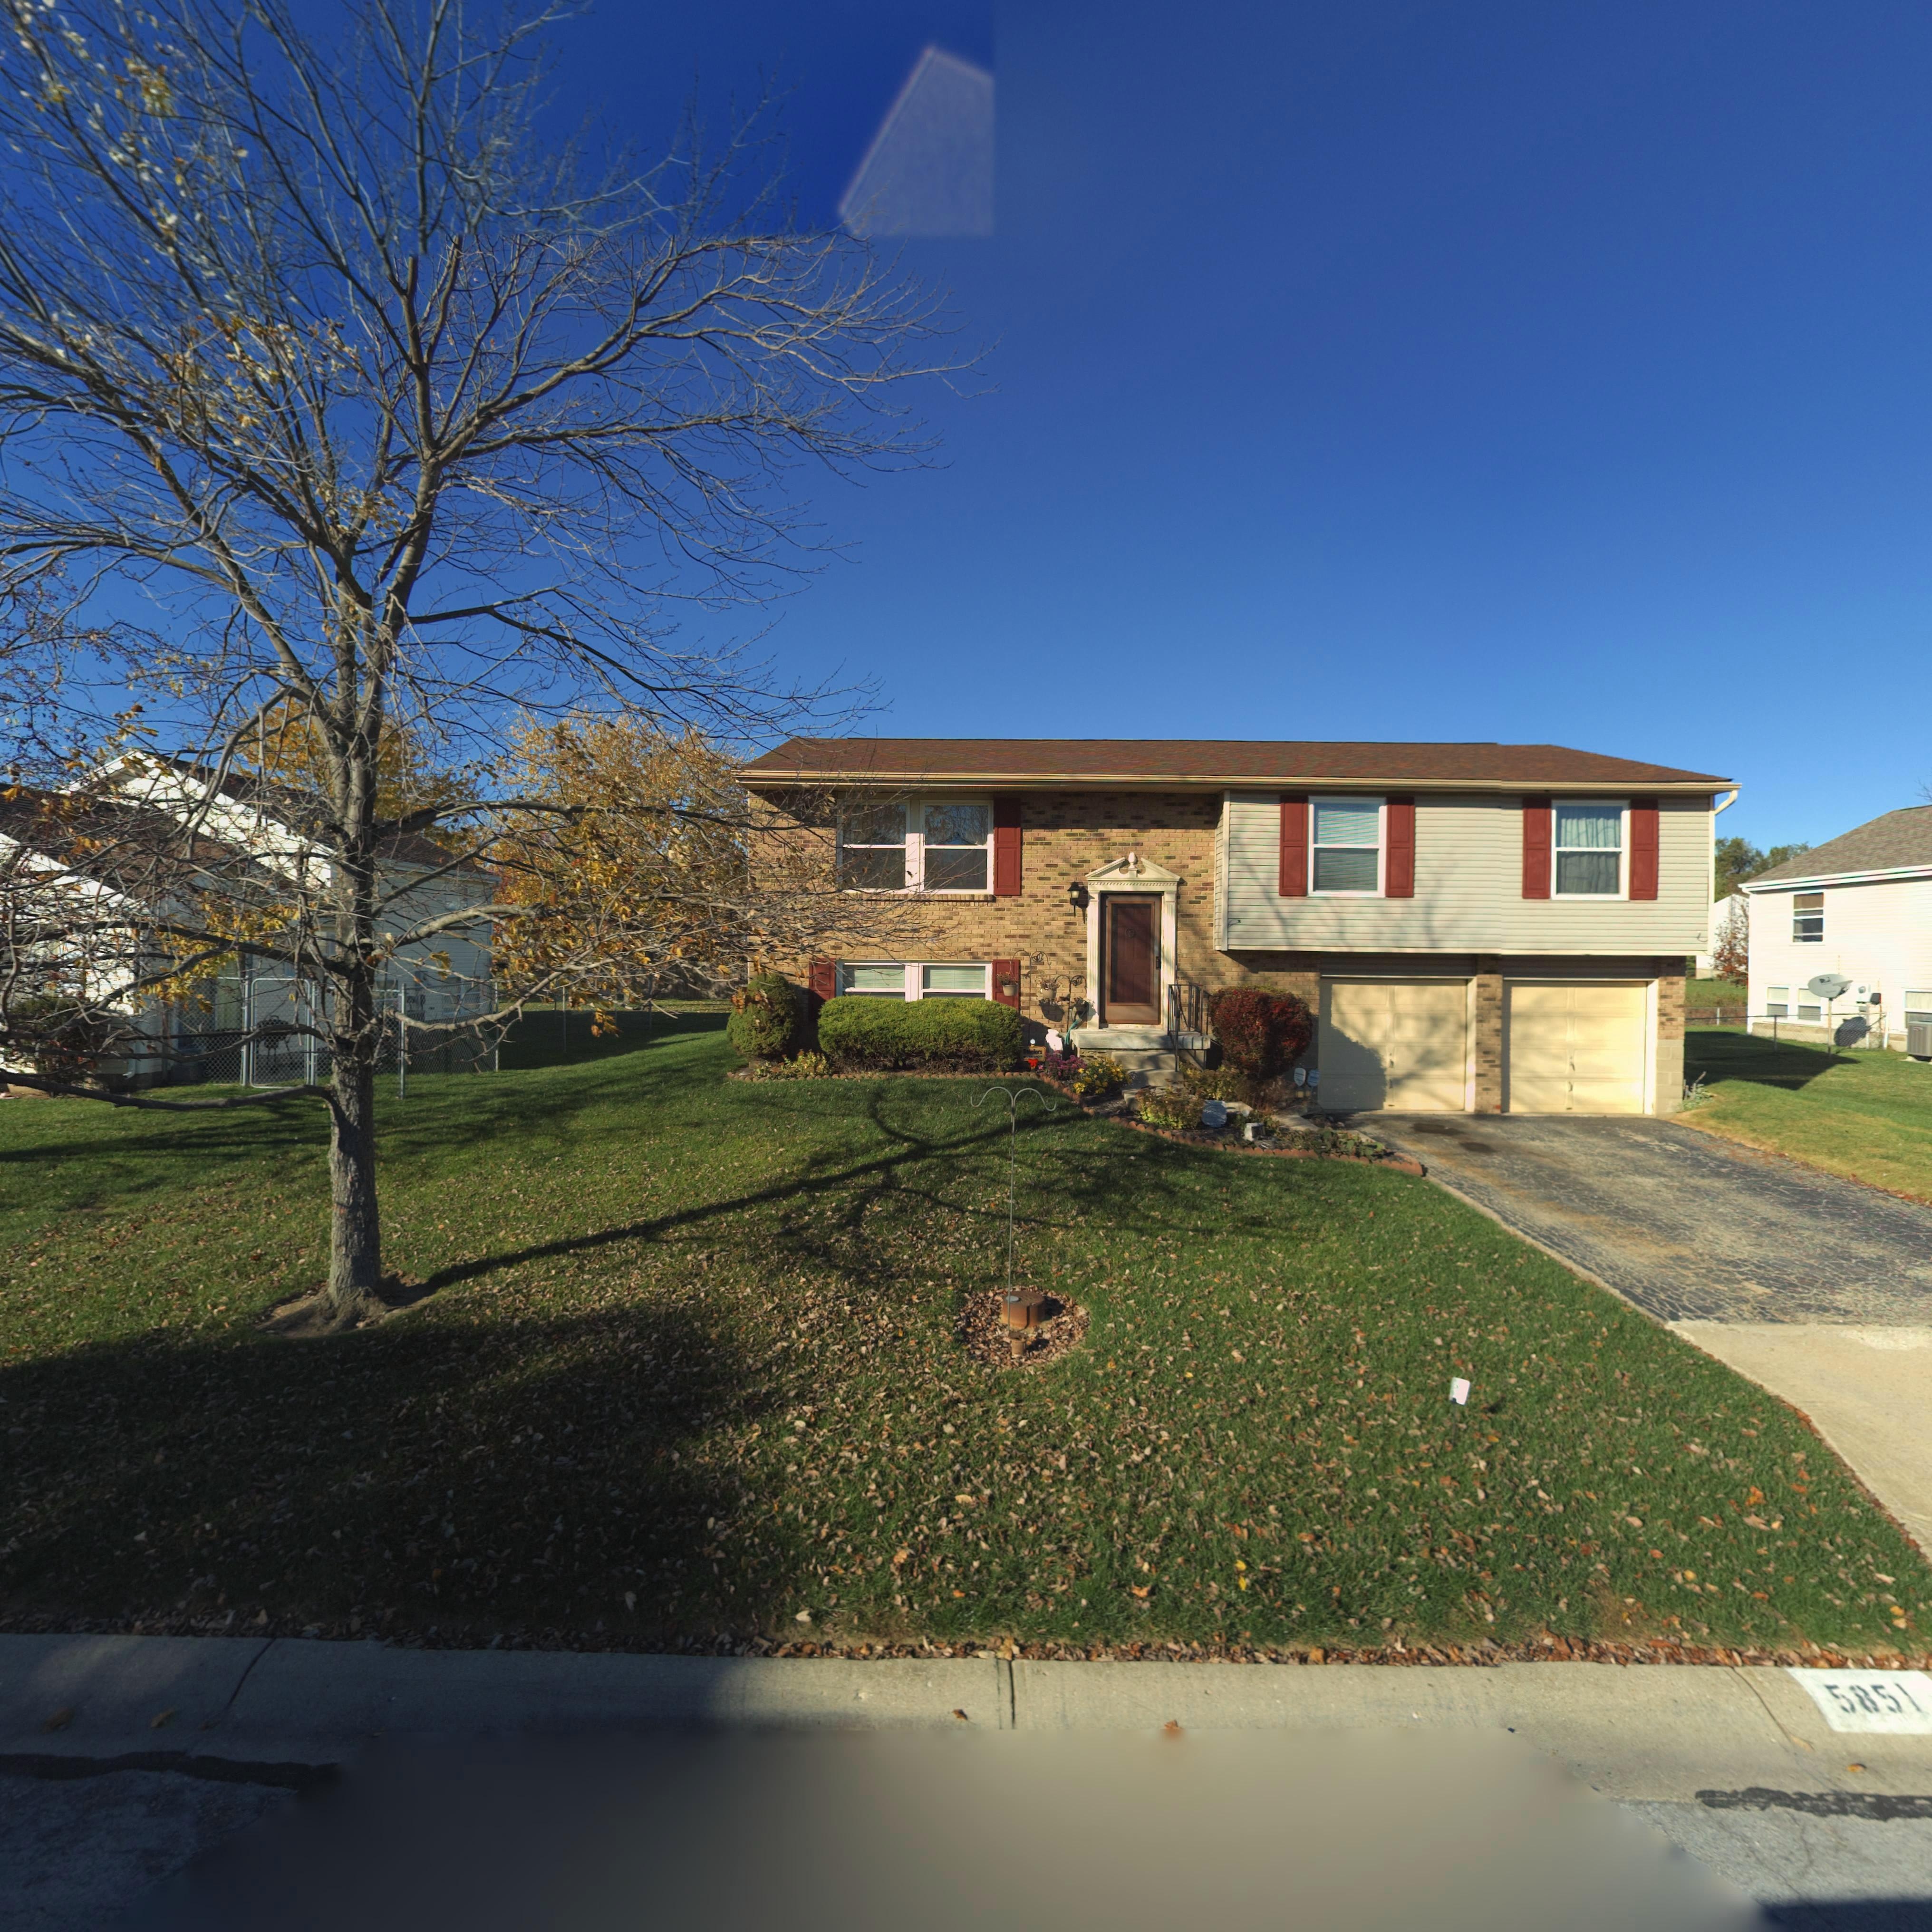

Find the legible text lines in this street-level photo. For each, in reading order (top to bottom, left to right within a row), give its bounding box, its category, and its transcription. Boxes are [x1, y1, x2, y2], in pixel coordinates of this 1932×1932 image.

[1821, 1680, 1926, 1716] StreetNumber: 5851